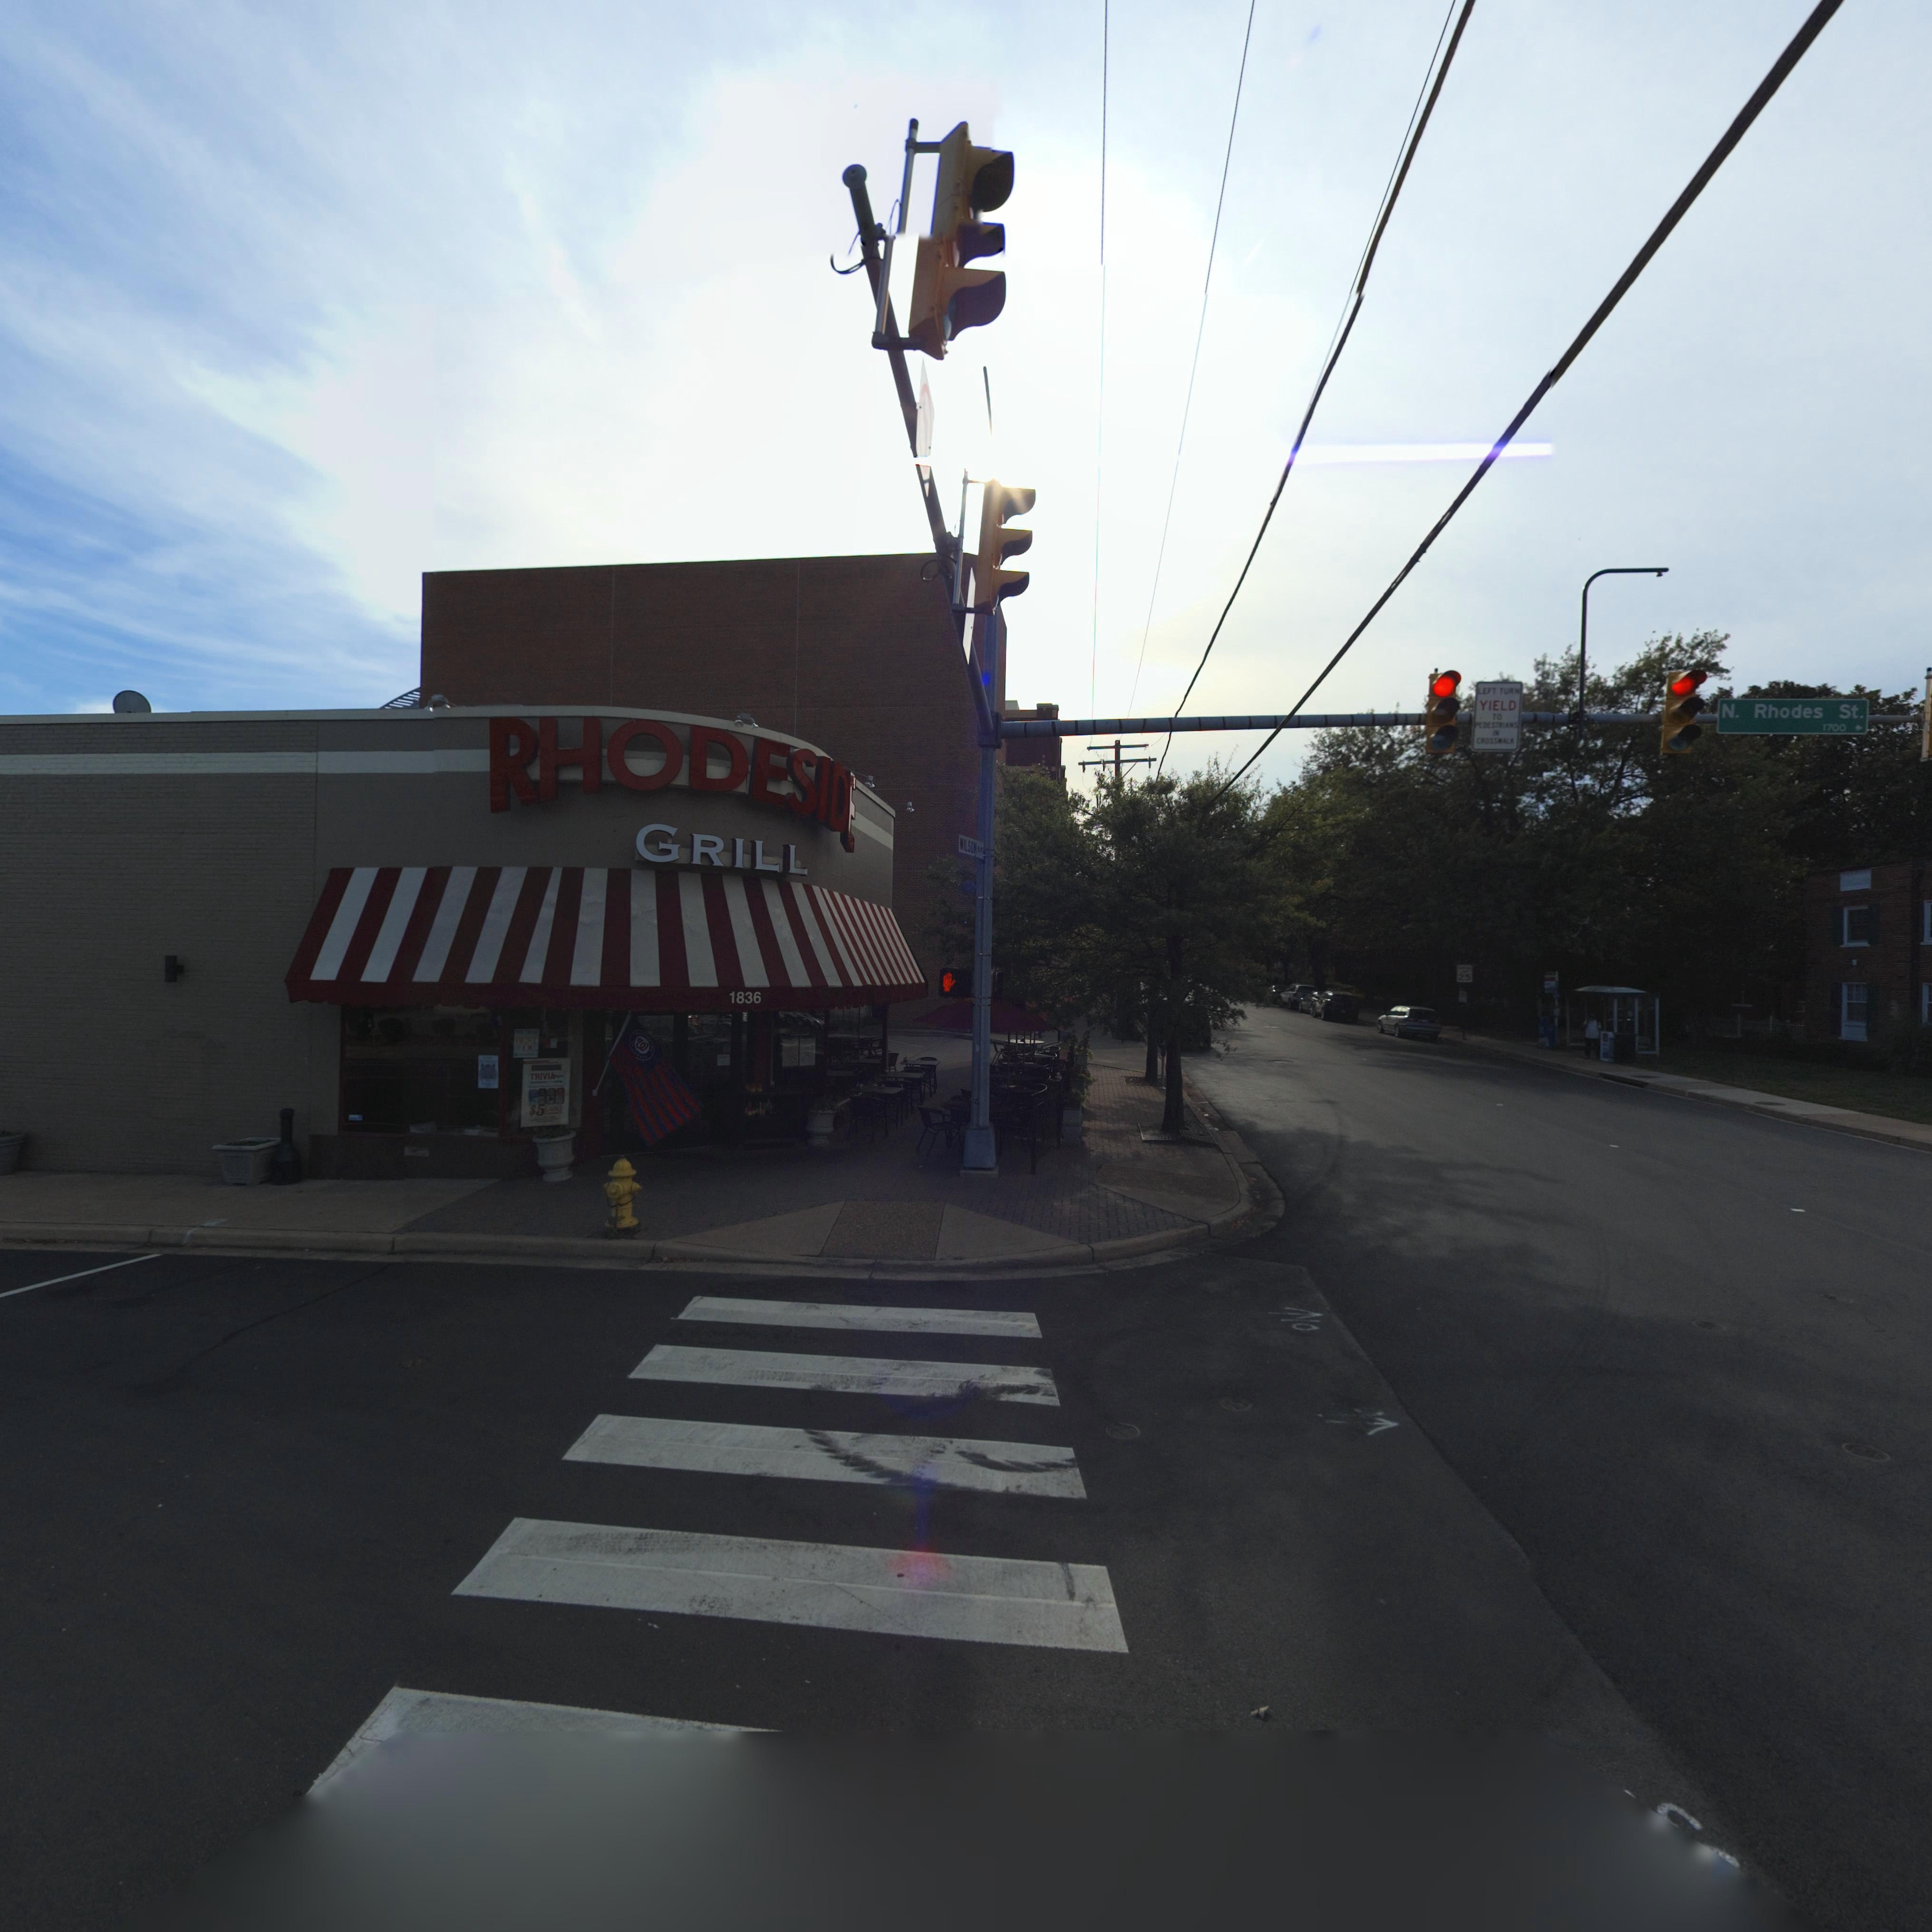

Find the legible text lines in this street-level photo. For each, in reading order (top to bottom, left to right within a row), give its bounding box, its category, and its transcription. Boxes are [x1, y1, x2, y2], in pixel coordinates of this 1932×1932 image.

[1477, 687, 1520, 695] None: LEFT TURN
[1478, 700, 1517, 711] None: YIELD
[1722, 703, 1864, 719] StreetName: N. Rhodes St.
[1491, 713, 1503, 721] None: TO
[1474, 721, 1519, 728] None: PEDESTRIANS
[1822, 724, 1864, 732] StreetNumberRange: 1700->
[1491, 729, 1500, 736] None: IN
[1476, 737, 1515, 745] None: CROSSWALK
[488, 715, 858, 855] BusinessName: RHODESIDE
[633, 821, 809, 877] BusinessName: GRILL
[959, 837, 984, 855] StreetName: WILSON B***
[1458, 974, 1471, 981] None: 25
[729, 991, 762, 1005] StreetNumber: 1836
[515, 1036, 539, 1043] None: BEST
[522, 1043, 538, 1052] None: DC
[530, 1072, 556, 1081] None: TRIVIA
[535, 1103, 563, 1116] None: 5CANS